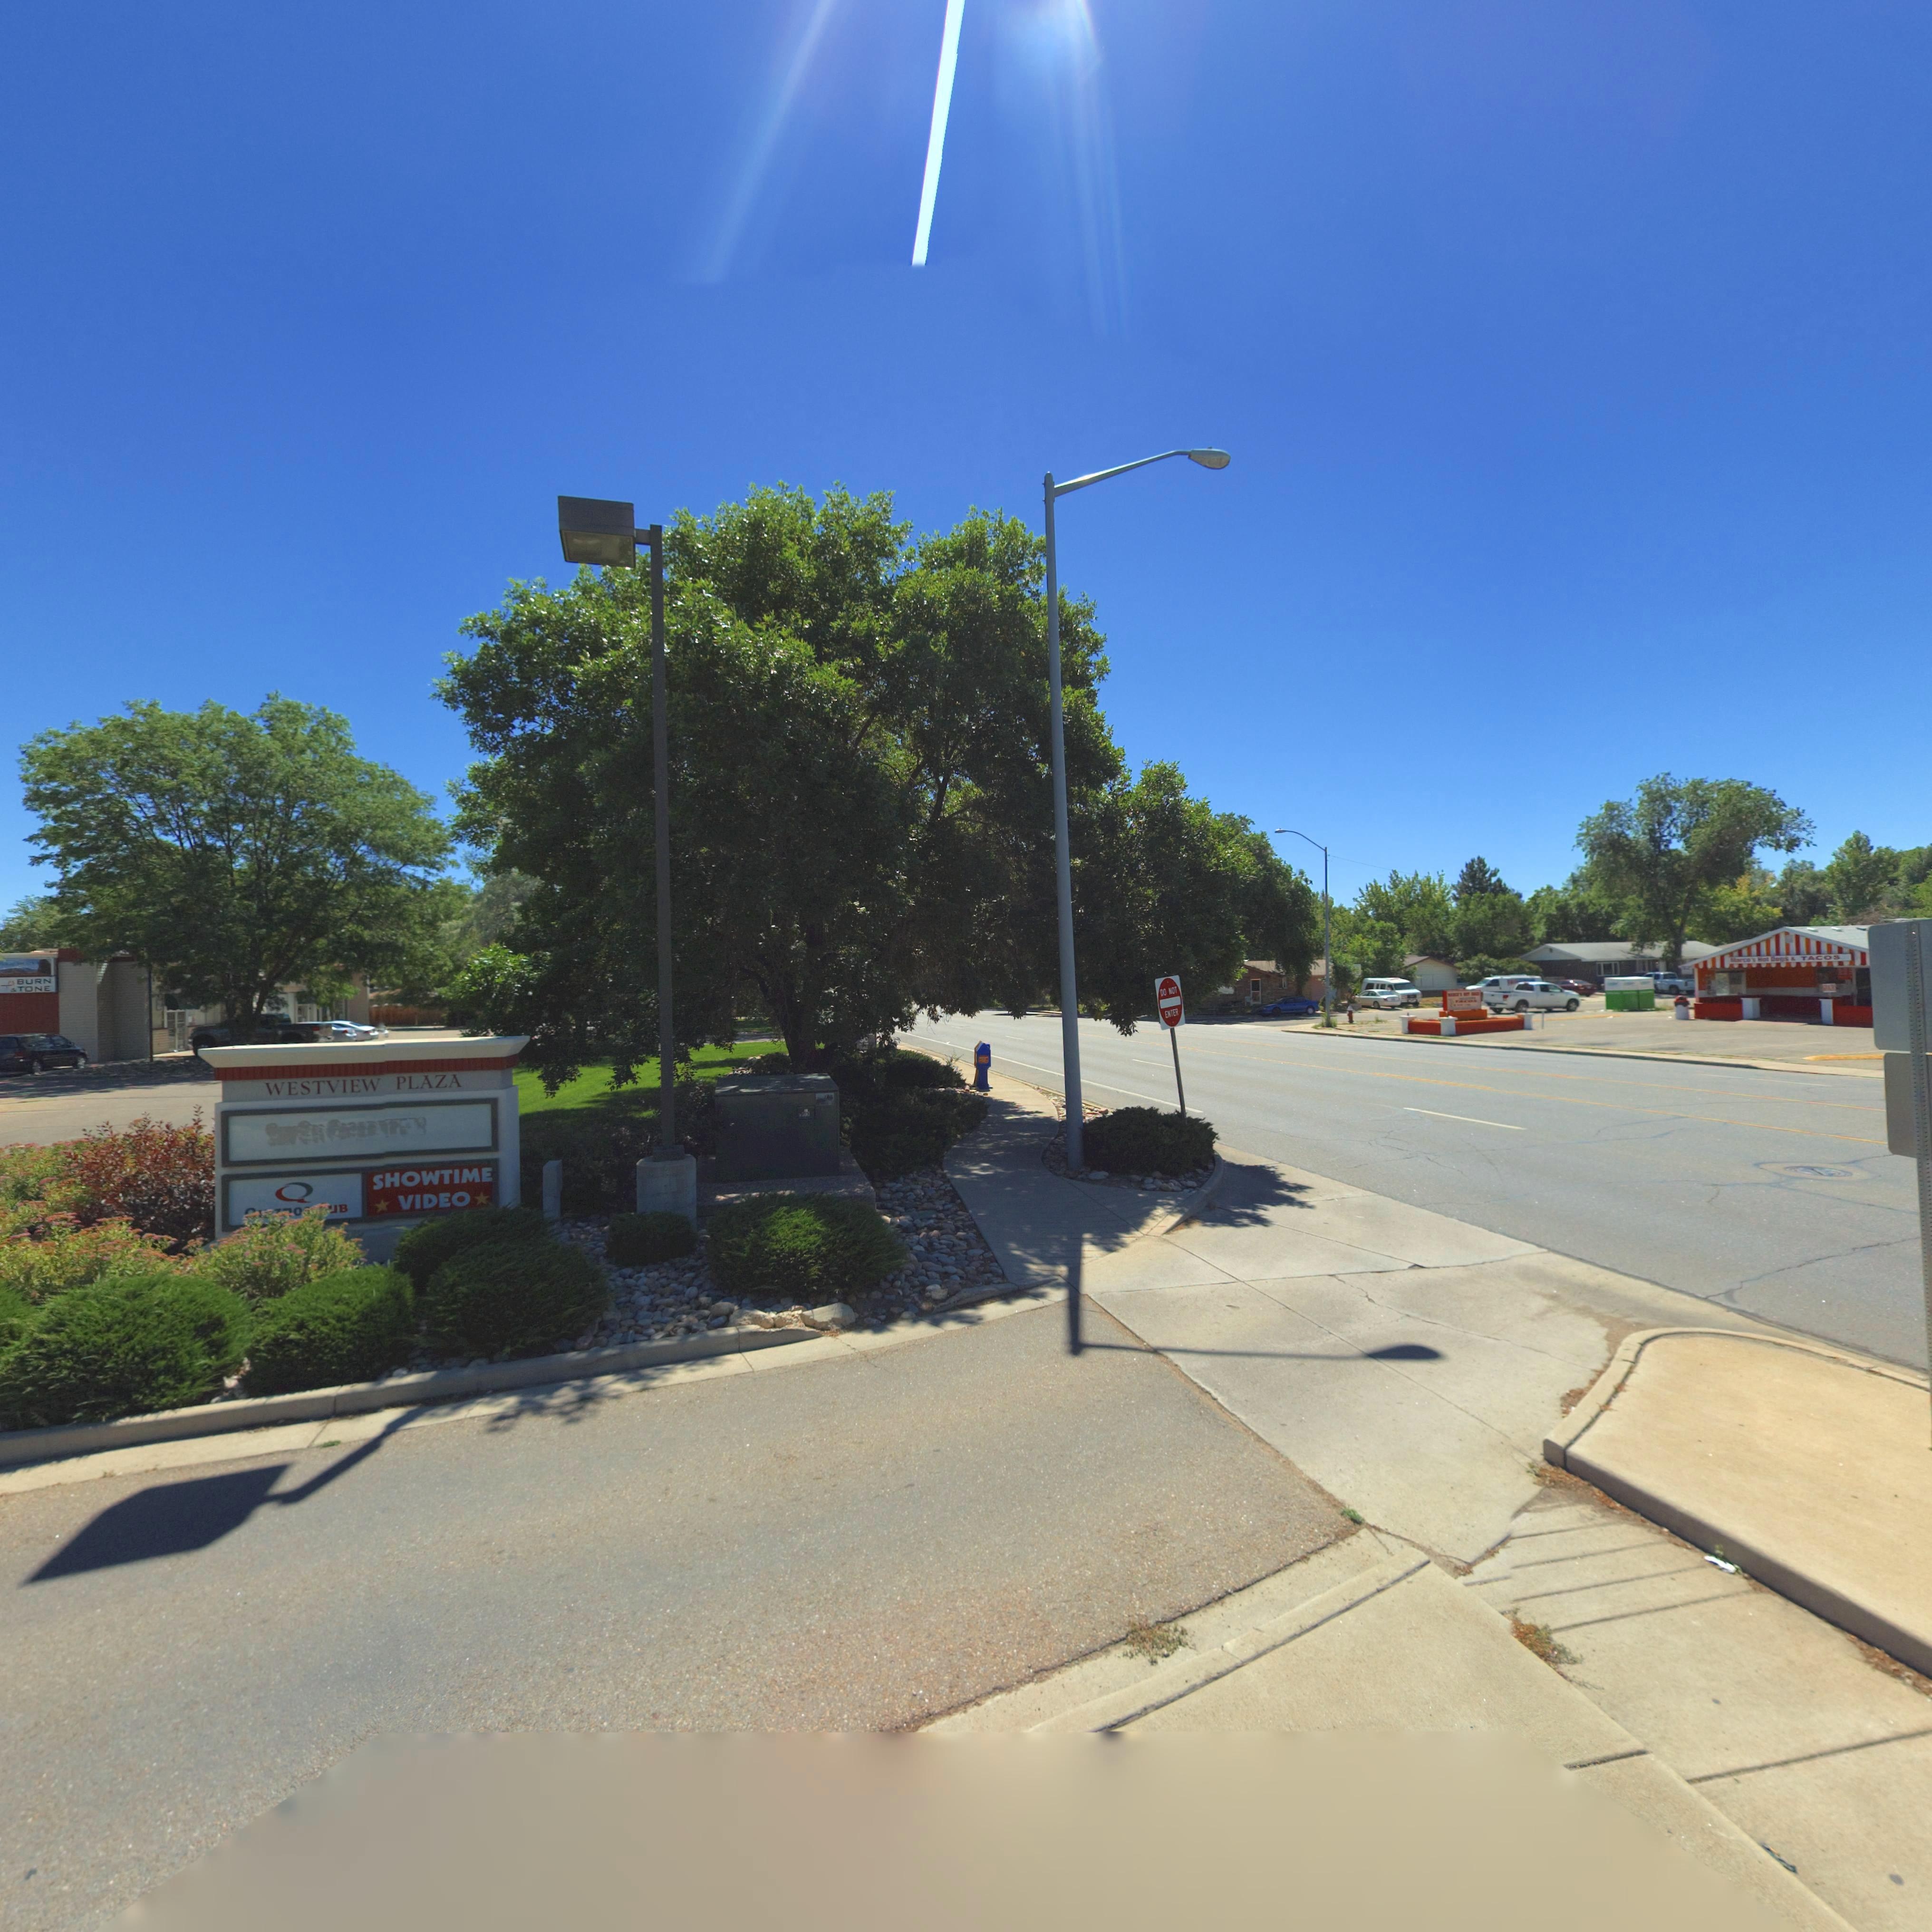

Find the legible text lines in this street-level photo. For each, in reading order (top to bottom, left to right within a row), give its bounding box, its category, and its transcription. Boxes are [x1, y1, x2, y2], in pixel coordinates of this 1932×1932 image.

[1729, 954, 1840, 963] BusinessName: Marco's Hot Dogs & TACOS
[16, 977, 51, 985] BusinessName: BURN
[10, 985, 50, 993] BusinessName: & TONE
[1448, 991, 1480, 997] BusinessName: ******S *** ****
[1455, 999, 1478, 1003] BusinessName: TACOS
[372, 1167, 492, 1189] BusinessName: SHOWTIME
[397, 1191, 471, 1210] BusinessName: VIDEO
[242, 1203, 348, 1221] BusinessName: ****os *uB